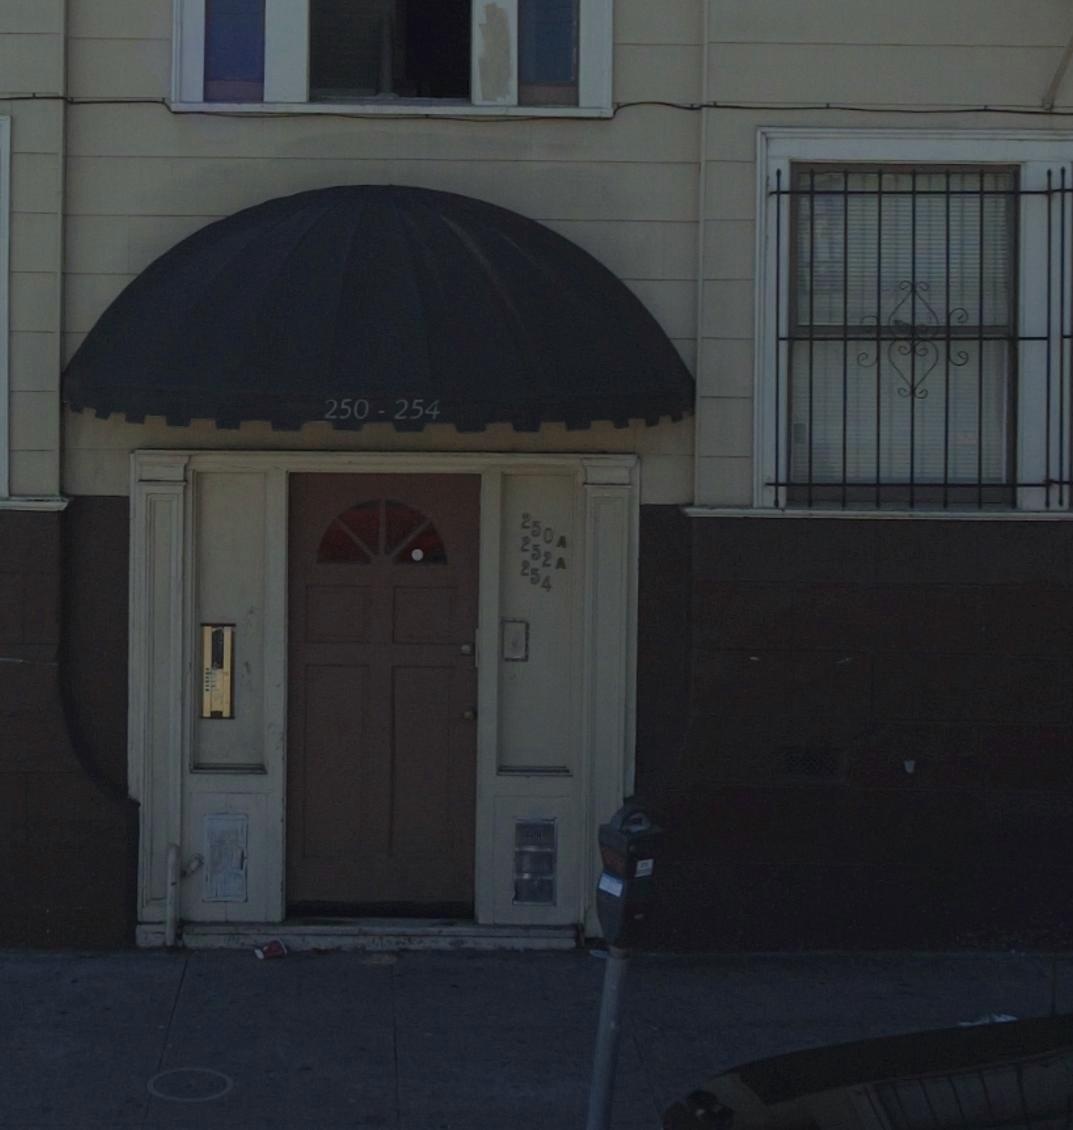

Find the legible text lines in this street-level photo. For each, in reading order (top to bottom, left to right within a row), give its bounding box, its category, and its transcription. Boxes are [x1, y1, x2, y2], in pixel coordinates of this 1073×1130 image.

[321, 396, 373, 424] StreetNumber: 250
[391, 395, 444, 424] StreetNumber: 254
[517, 507, 571, 556] StreetNumber: 250A
[518, 529, 570, 573] StreetNumber: 252A
[518, 557, 556, 598] StreetNumber: 254